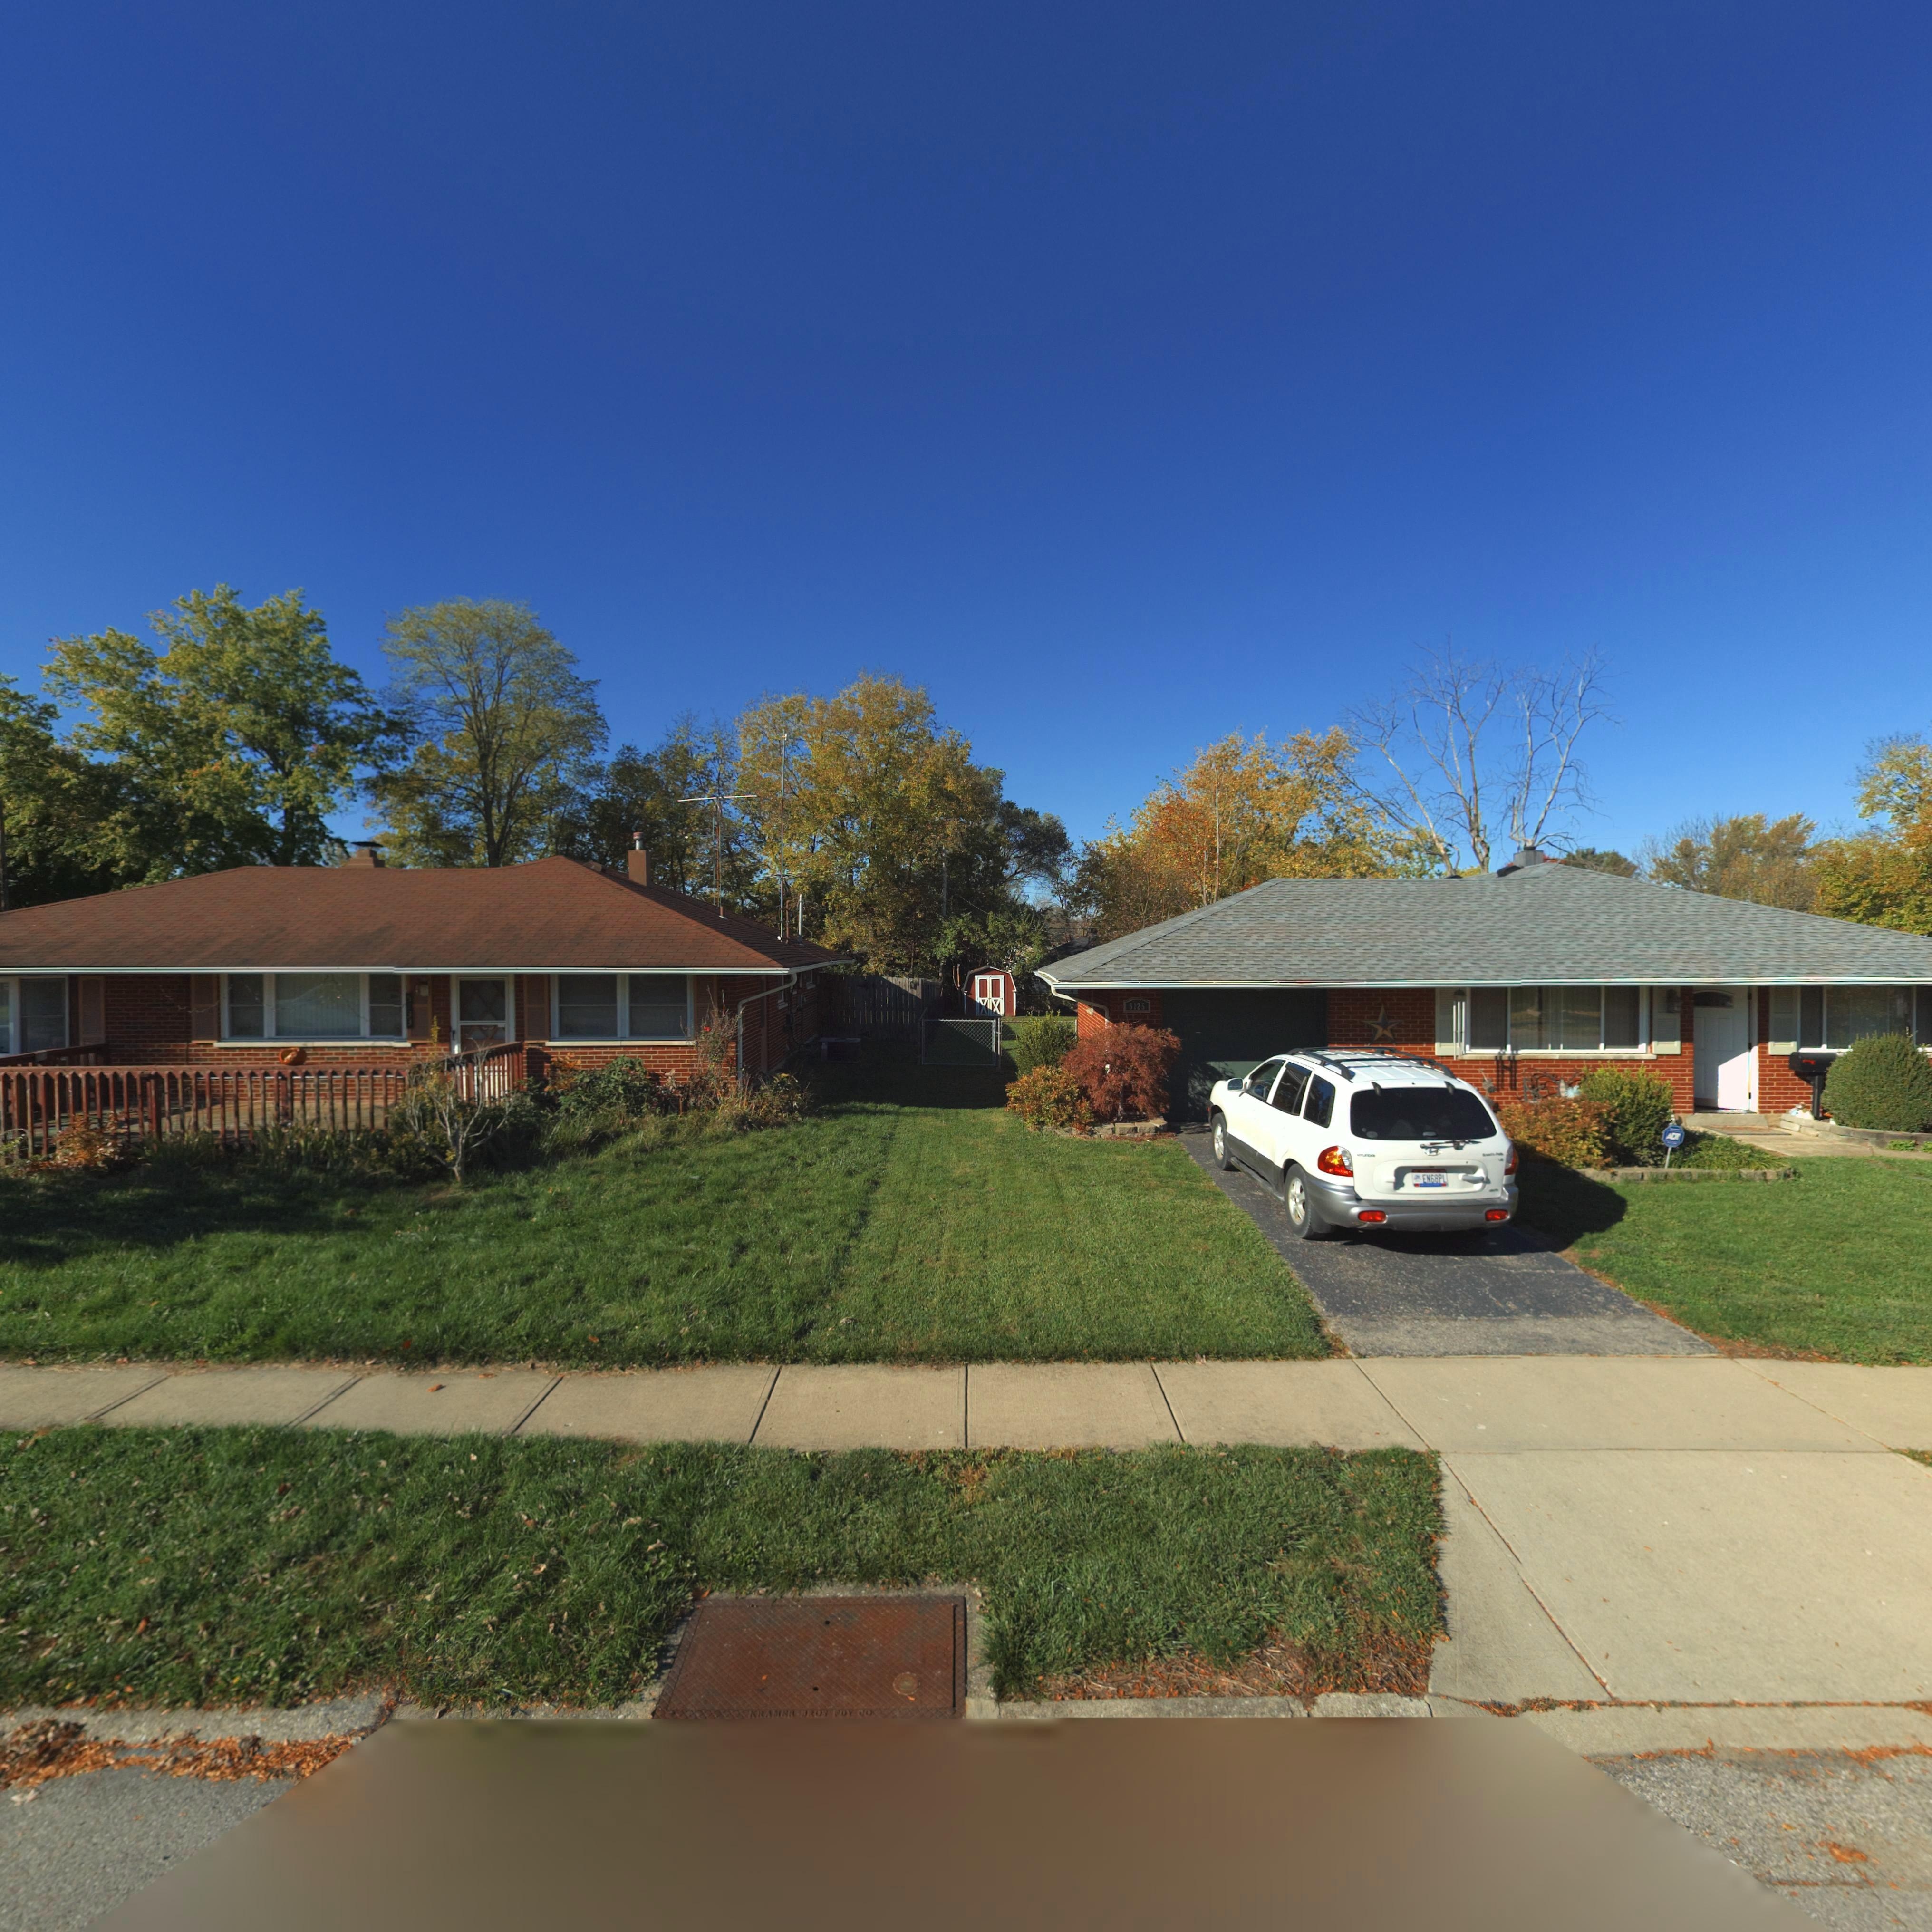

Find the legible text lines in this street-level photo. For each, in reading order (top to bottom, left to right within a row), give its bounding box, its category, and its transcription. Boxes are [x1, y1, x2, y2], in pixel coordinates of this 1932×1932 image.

[406, 993, 412, 1027] StreetNumber: 5133
[1129, 1002, 1146, 1010] StreetNumber: 5125